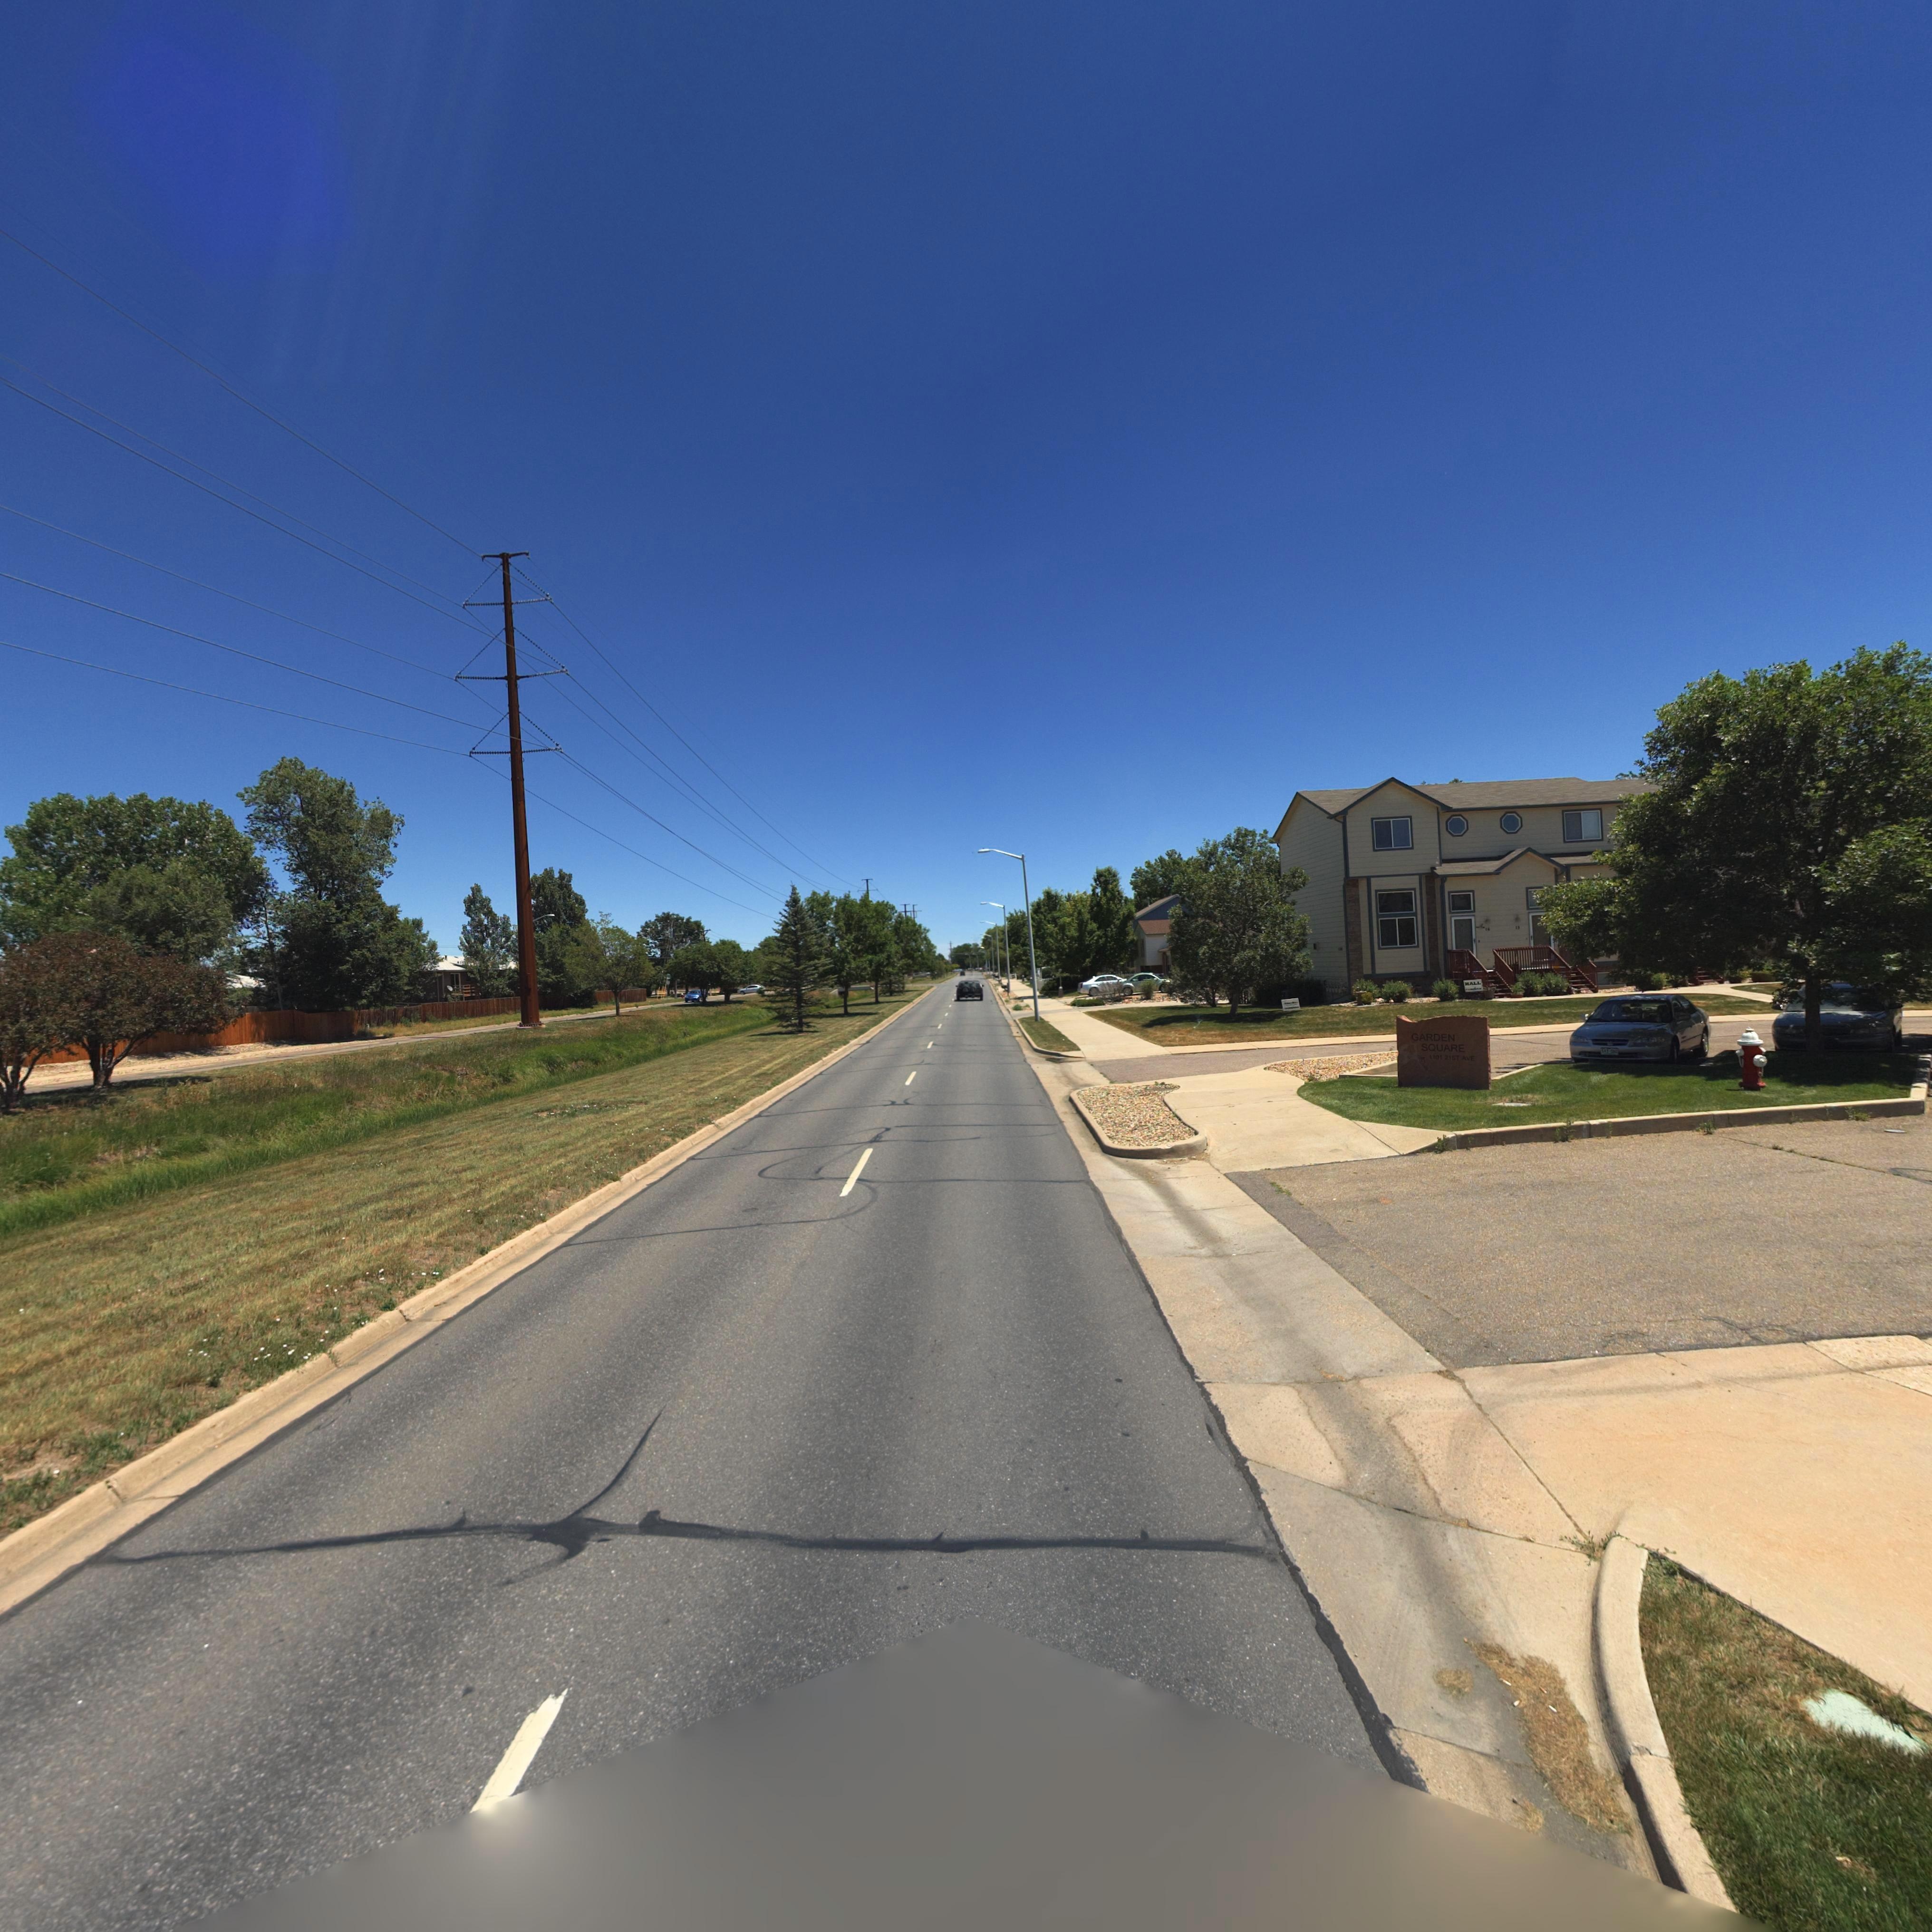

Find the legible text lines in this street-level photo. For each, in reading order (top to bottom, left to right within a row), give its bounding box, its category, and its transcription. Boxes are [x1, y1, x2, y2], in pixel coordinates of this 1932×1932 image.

[1485, 927, 1490, 931] StreetNumber: 16
[1515, 925, 1520, 930] StreetNumber: 15
[1410, 1033, 1456, 1041] BusinessName: GARDEN
[1420, 1043, 1466, 1053] BusinessName: SQUARE
[1429, 1054, 1442, 1060] StreetNumber: 101
[1444, 1054, 1475, 1061] StreetNumber: 21ST AVE